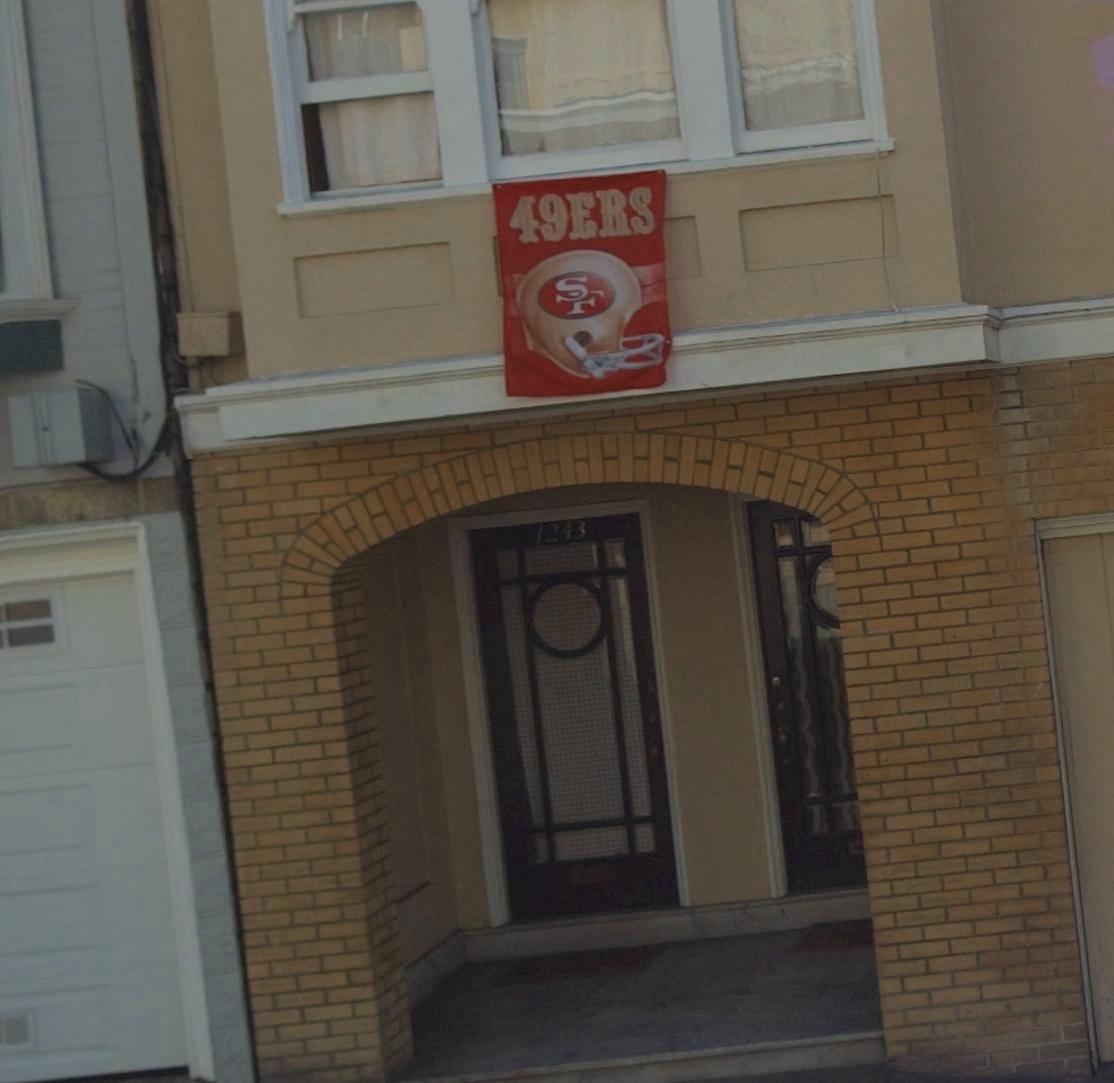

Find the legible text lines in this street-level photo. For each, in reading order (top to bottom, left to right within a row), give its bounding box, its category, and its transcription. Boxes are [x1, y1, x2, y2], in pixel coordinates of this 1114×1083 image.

[507, 184, 659, 246] None: 49ERS
[555, 274, 592, 306] None: S
[531, 517, 589, 547] StreetNumber: 1243